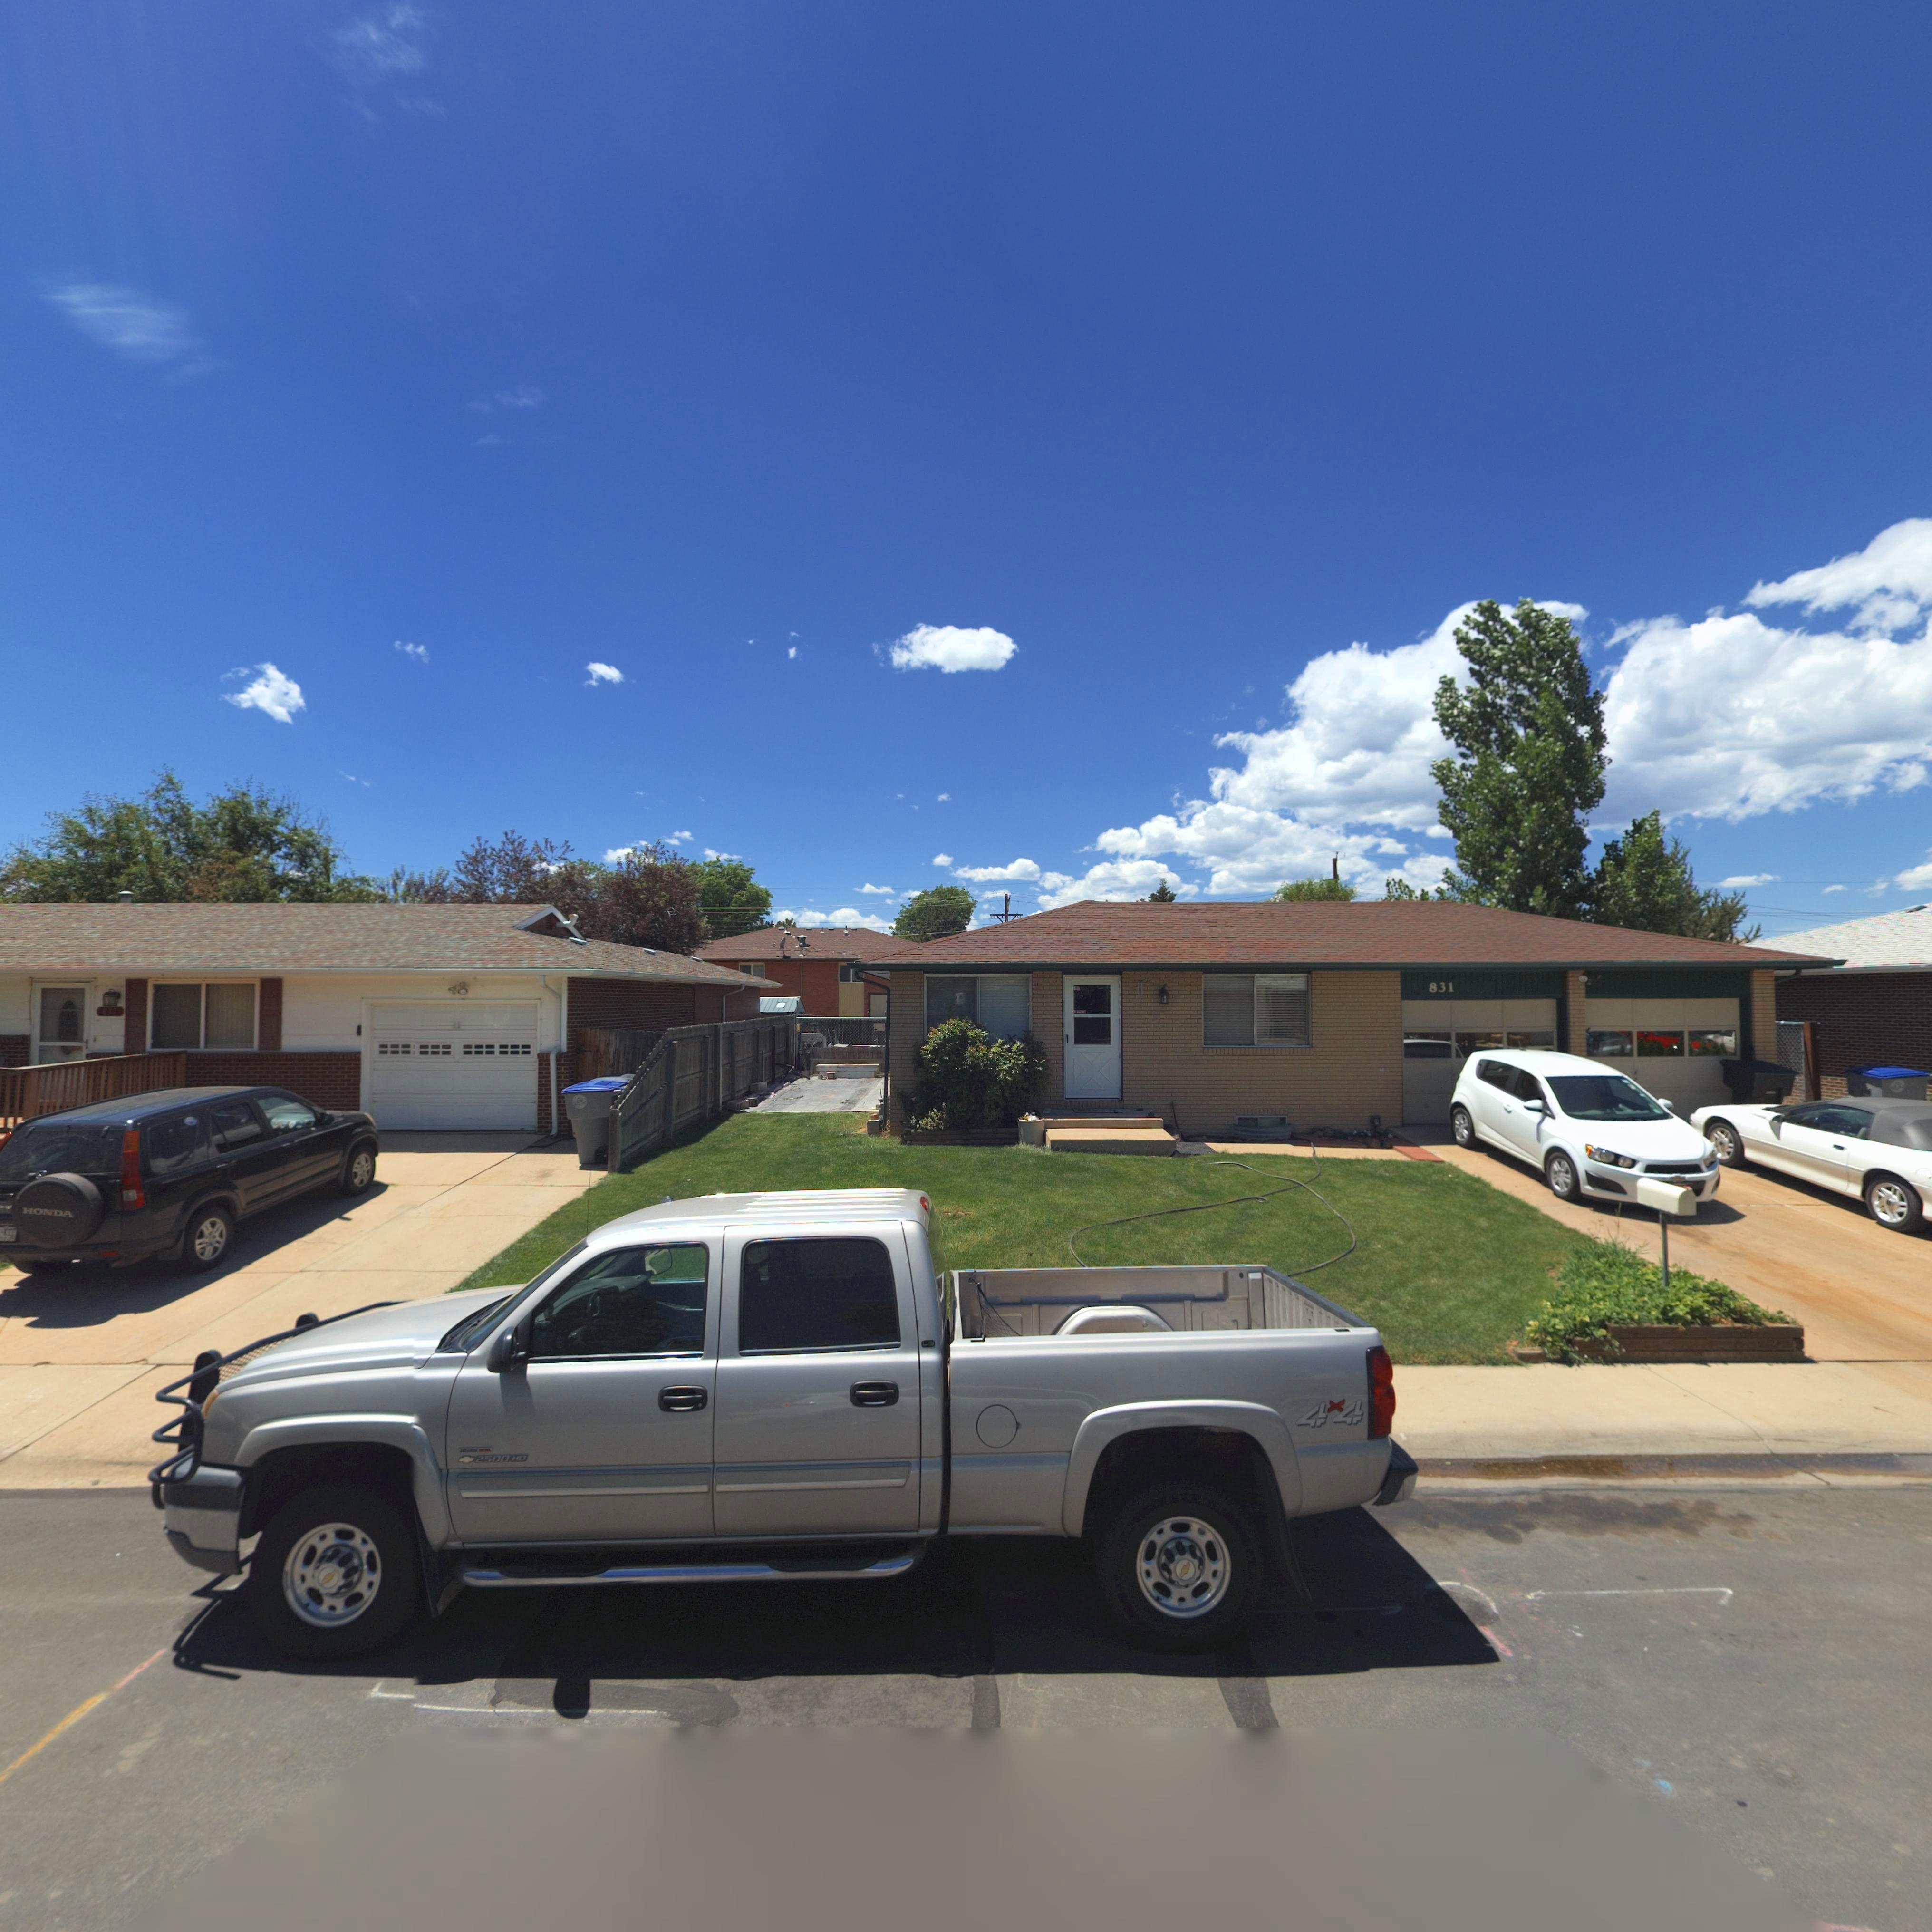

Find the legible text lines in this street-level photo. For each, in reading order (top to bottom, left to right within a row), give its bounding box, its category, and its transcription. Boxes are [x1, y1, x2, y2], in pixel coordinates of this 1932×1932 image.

[1428, 982, 1453, 992] StreetNumber: 831
[101, 1007, 117, 1015] StreetNumber: 837